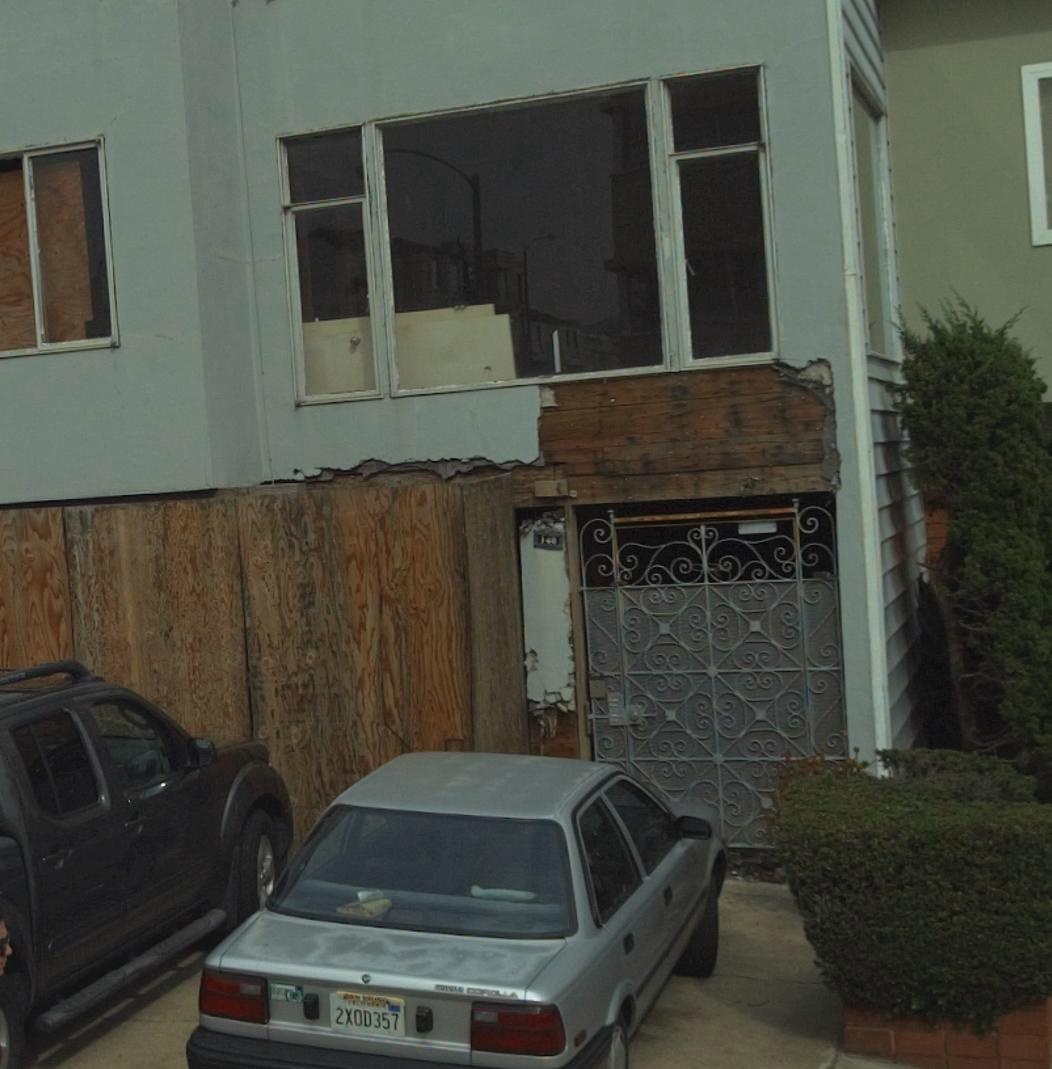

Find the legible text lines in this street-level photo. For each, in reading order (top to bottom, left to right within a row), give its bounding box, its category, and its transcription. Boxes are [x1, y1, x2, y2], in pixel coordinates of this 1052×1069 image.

[540, 534, 558, 546] StreetNumber: 140
[465, 985, 519, 1001] None: COROLLA
[334, 1005, 400, 1033] None: 2XOD357